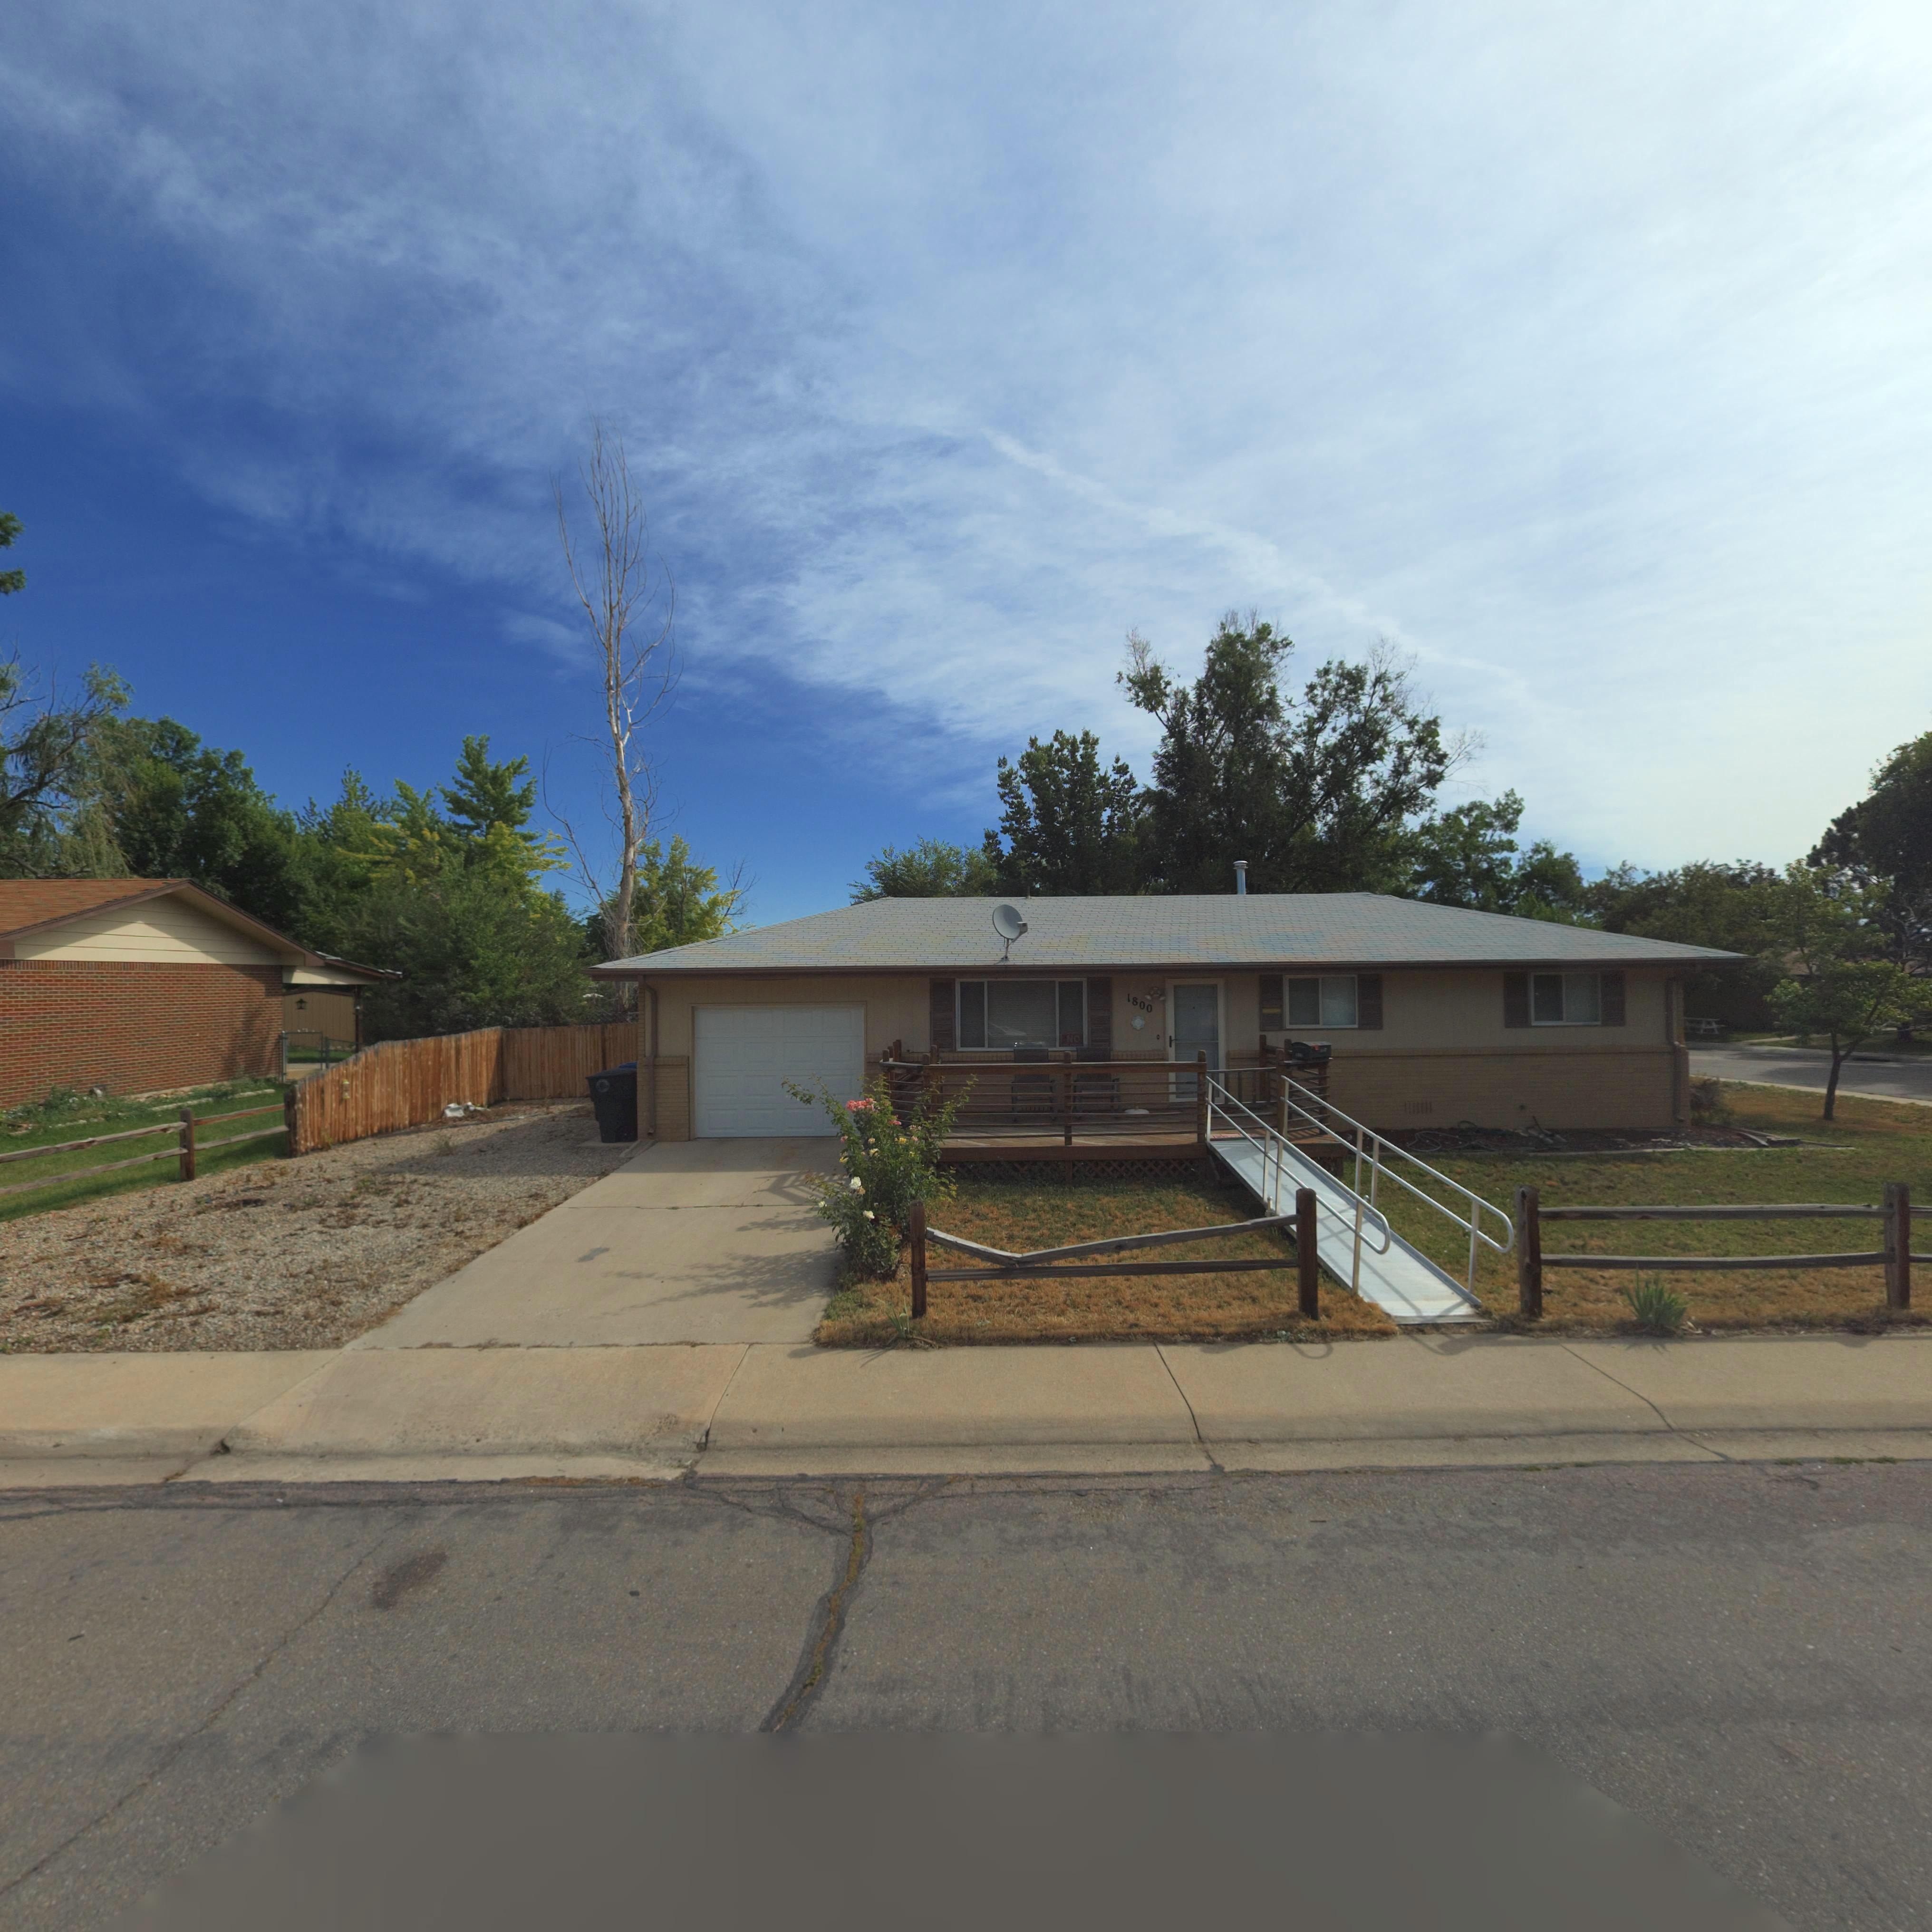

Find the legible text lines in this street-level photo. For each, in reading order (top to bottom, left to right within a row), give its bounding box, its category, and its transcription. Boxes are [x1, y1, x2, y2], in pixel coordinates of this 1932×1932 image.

[1127, 993, 1152, 1013] StreetNumber: 1800